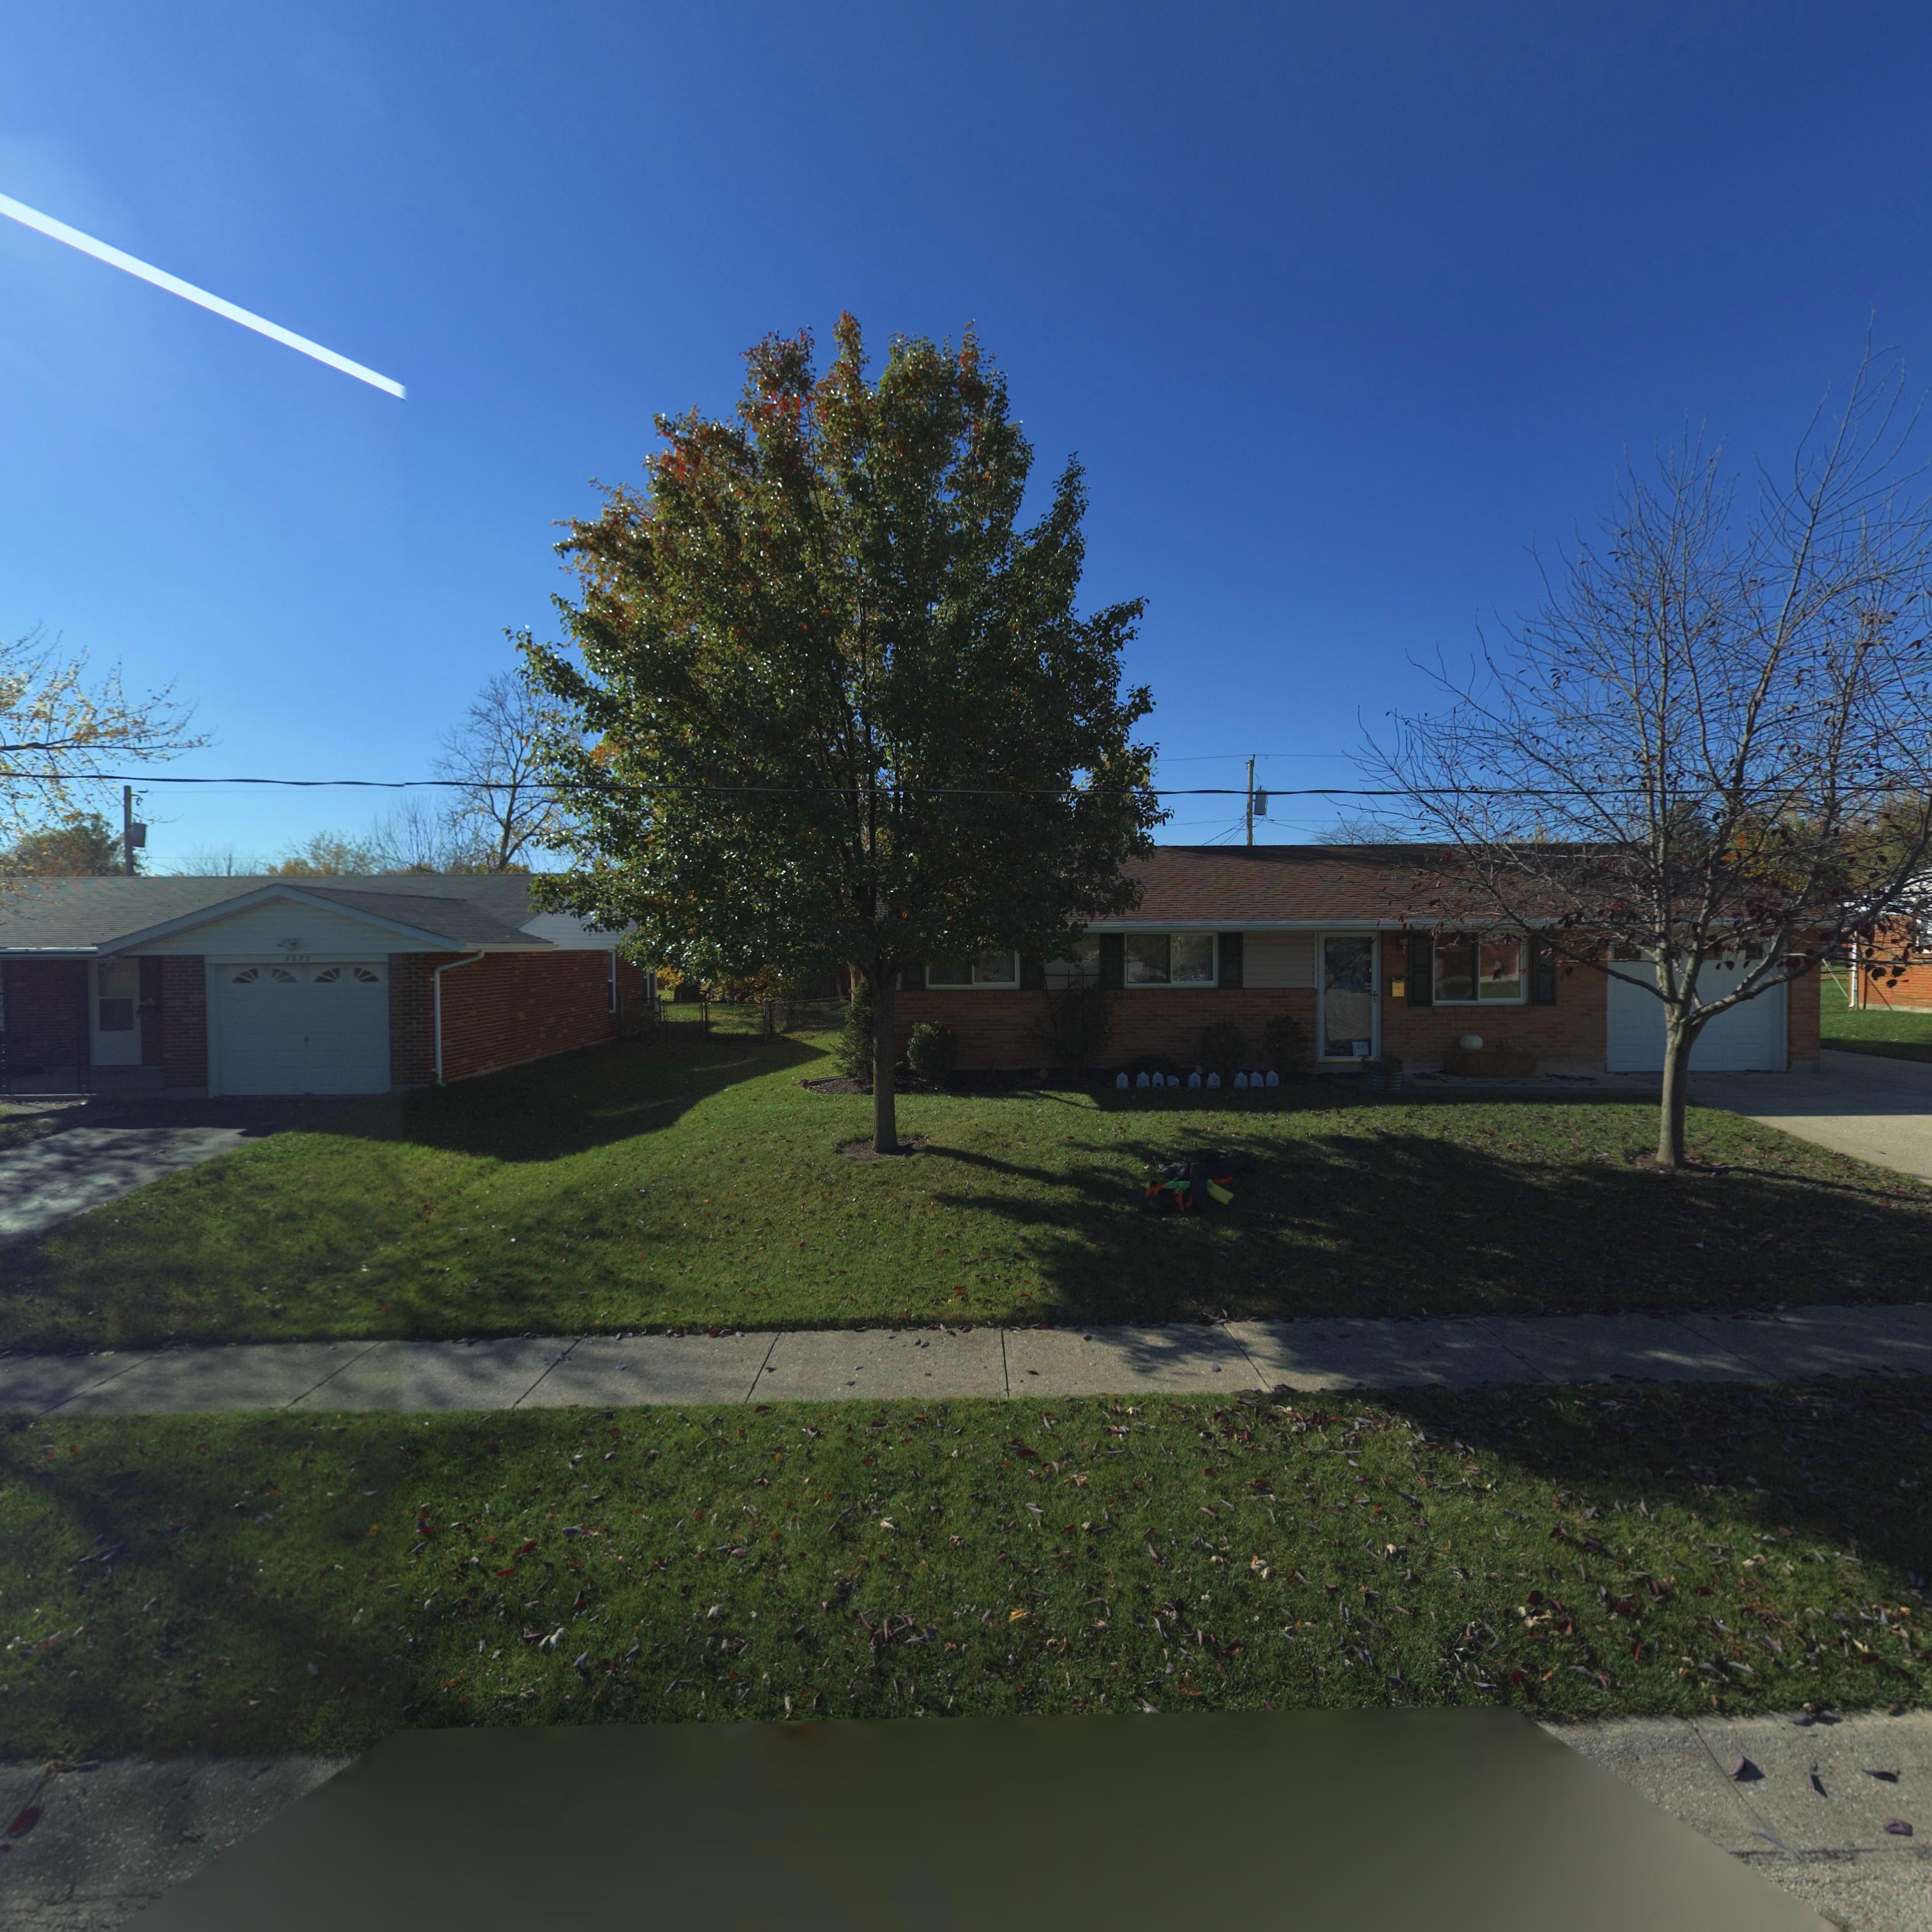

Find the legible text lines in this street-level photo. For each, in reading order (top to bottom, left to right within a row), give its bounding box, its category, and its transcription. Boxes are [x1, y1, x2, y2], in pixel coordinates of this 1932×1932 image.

[282, 954, 312, 964] StreetNumber: 7272